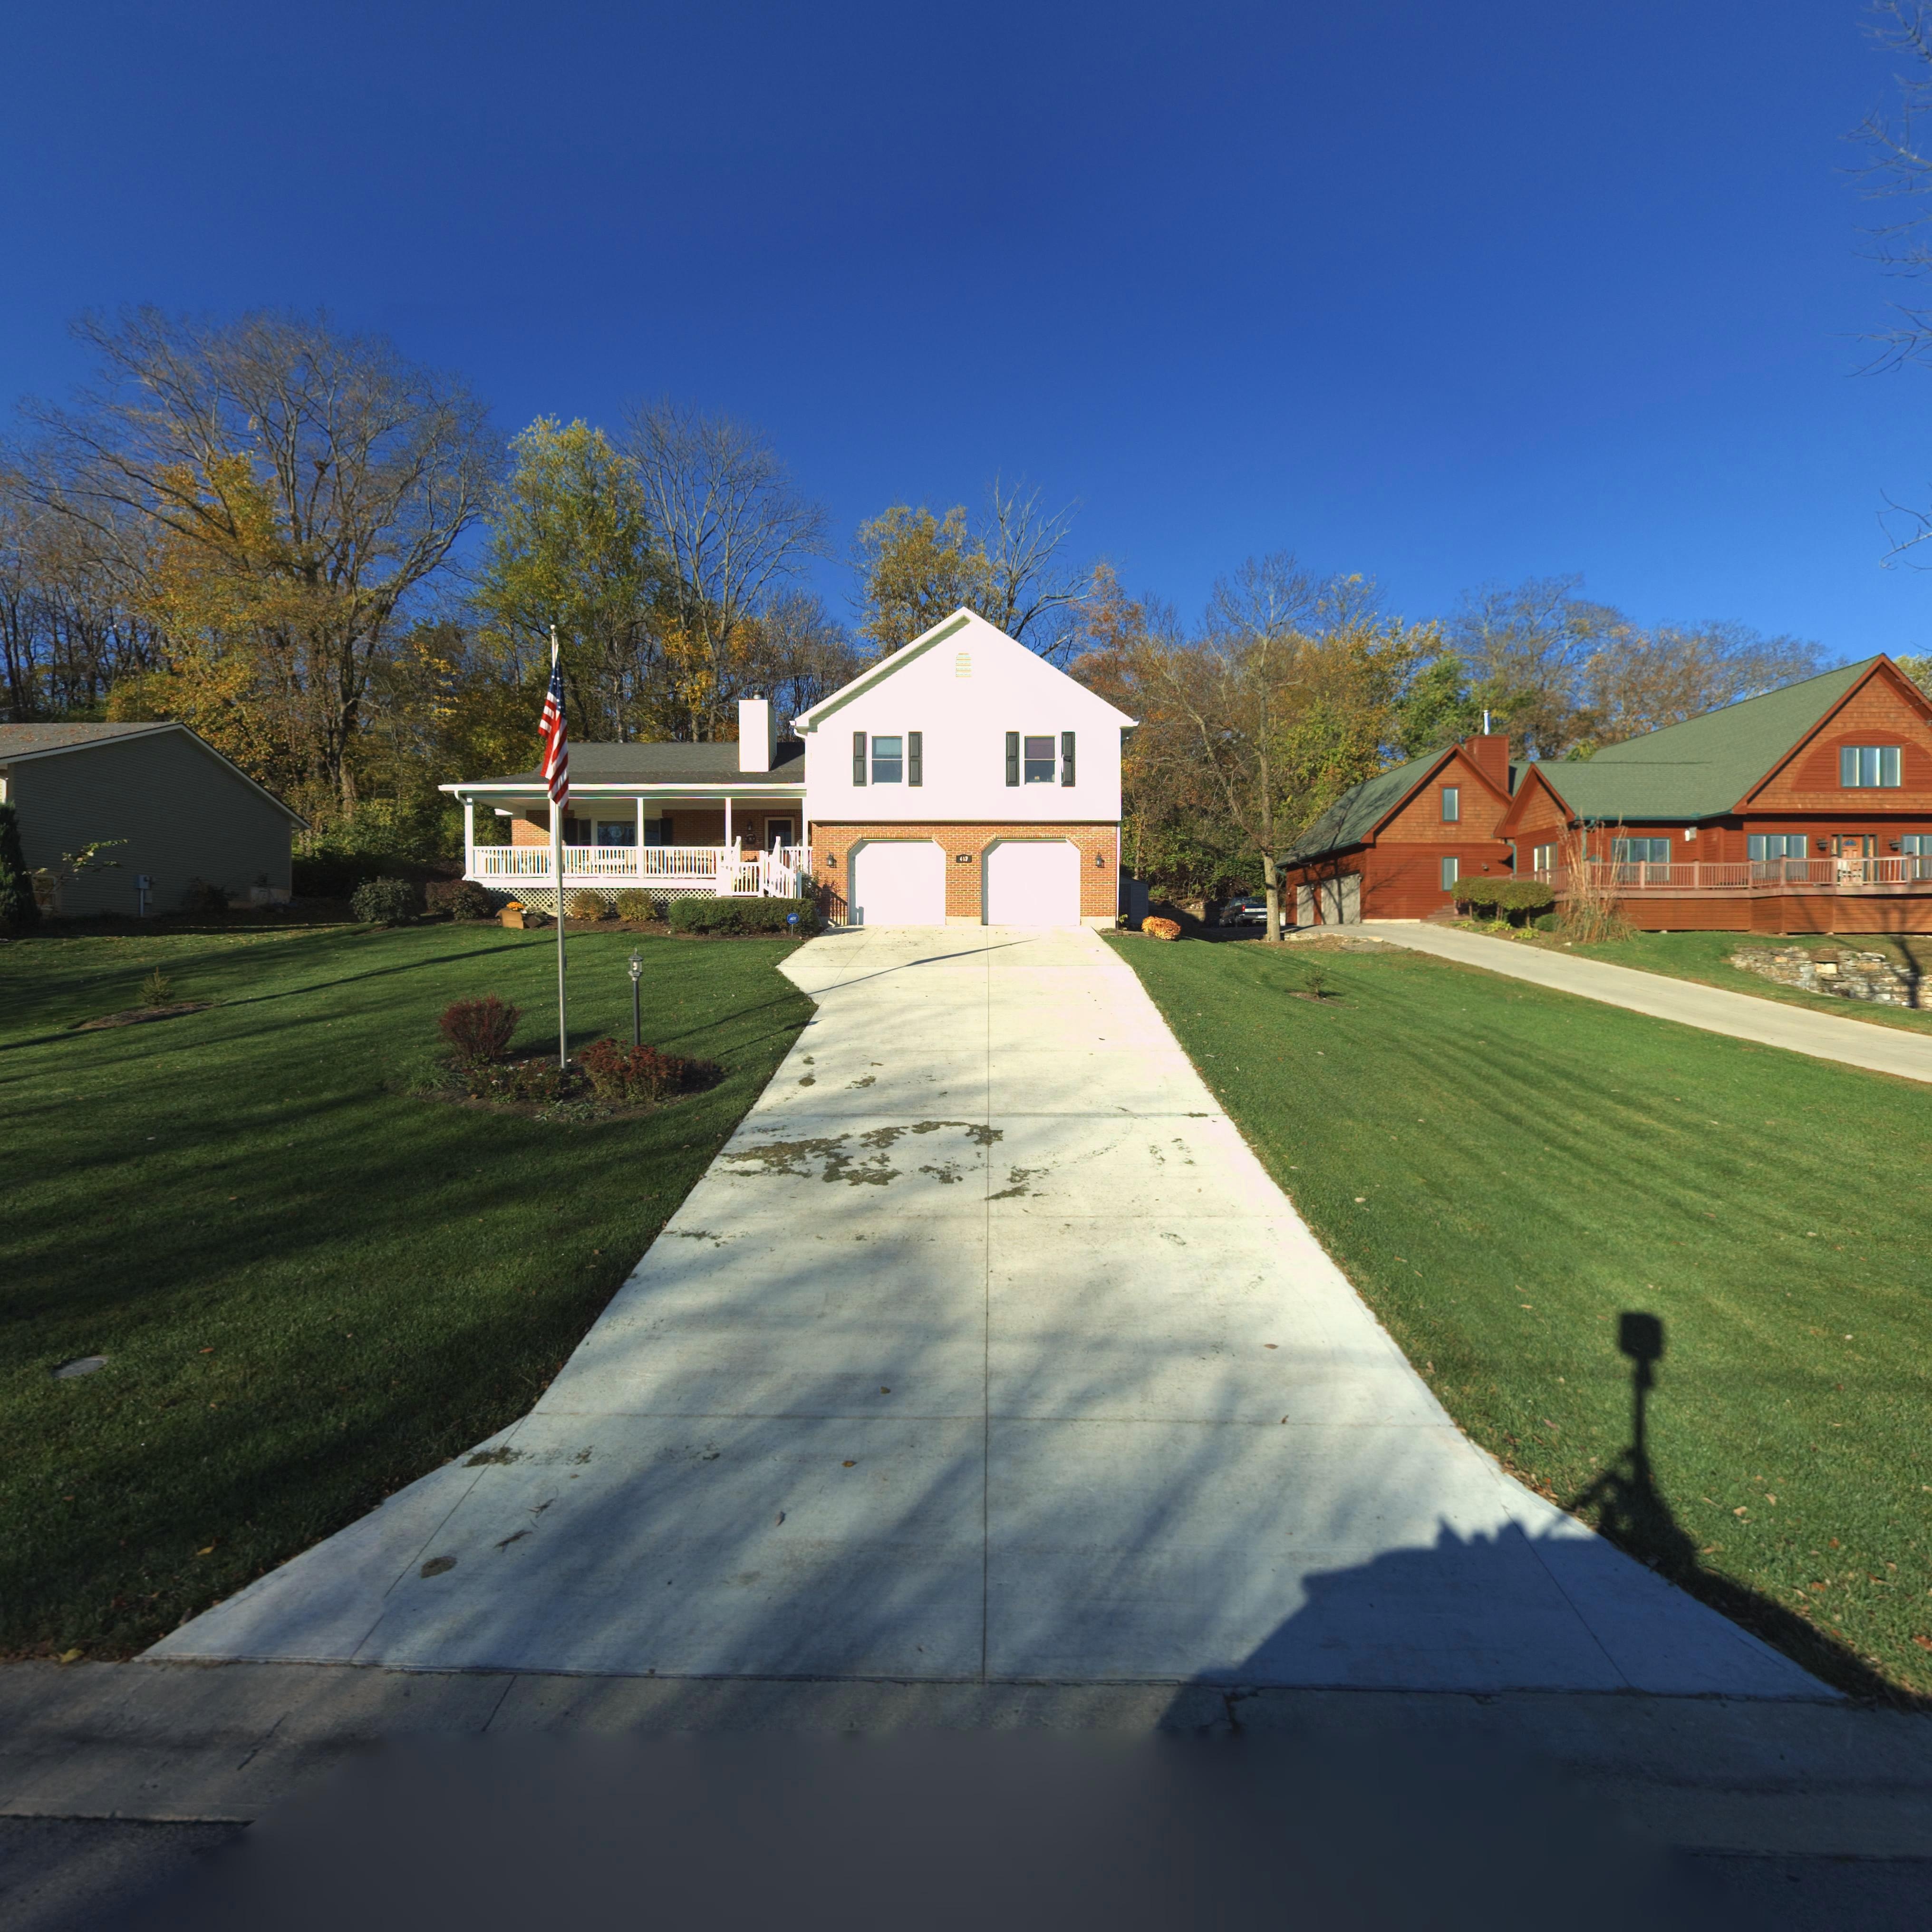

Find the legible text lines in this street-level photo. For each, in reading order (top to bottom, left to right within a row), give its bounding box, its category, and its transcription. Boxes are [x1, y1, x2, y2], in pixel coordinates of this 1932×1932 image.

[959, 856, 968, 862] StreetNumber: 407